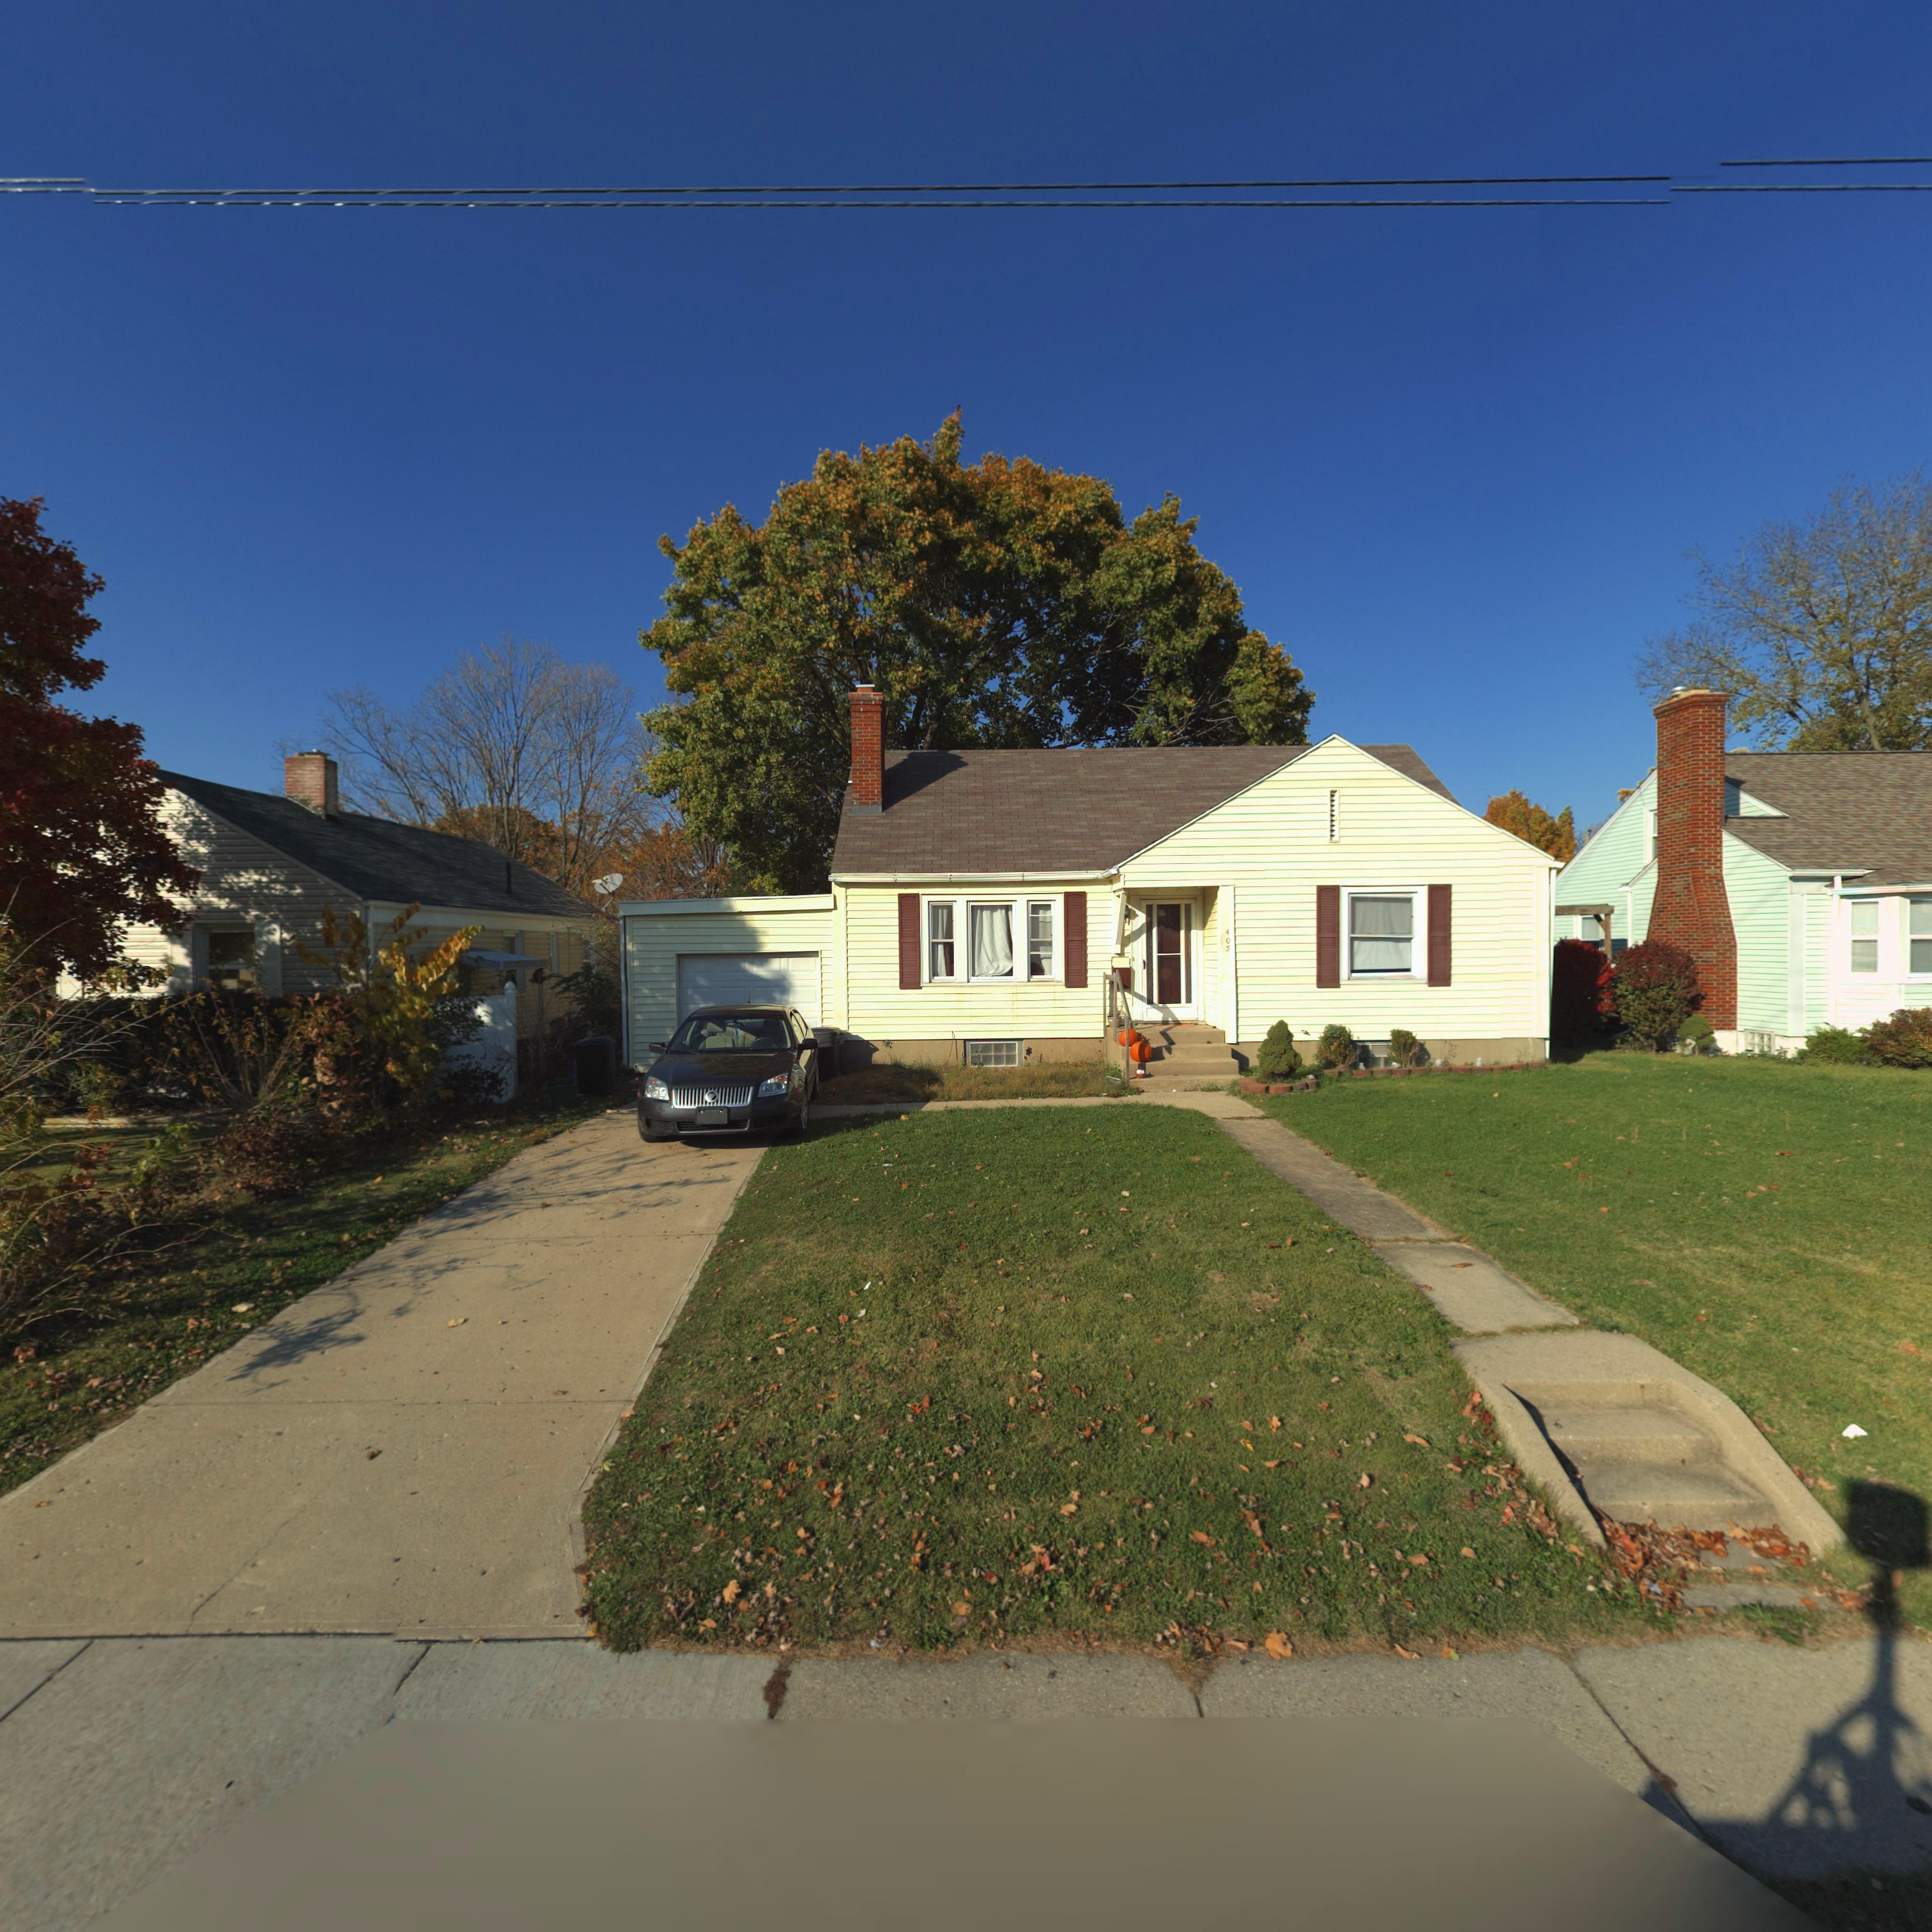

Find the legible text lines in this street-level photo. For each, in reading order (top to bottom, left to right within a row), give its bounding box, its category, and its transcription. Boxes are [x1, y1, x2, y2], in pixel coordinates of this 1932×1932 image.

[1224, 928, 1231, 952] StreetNumber: 405